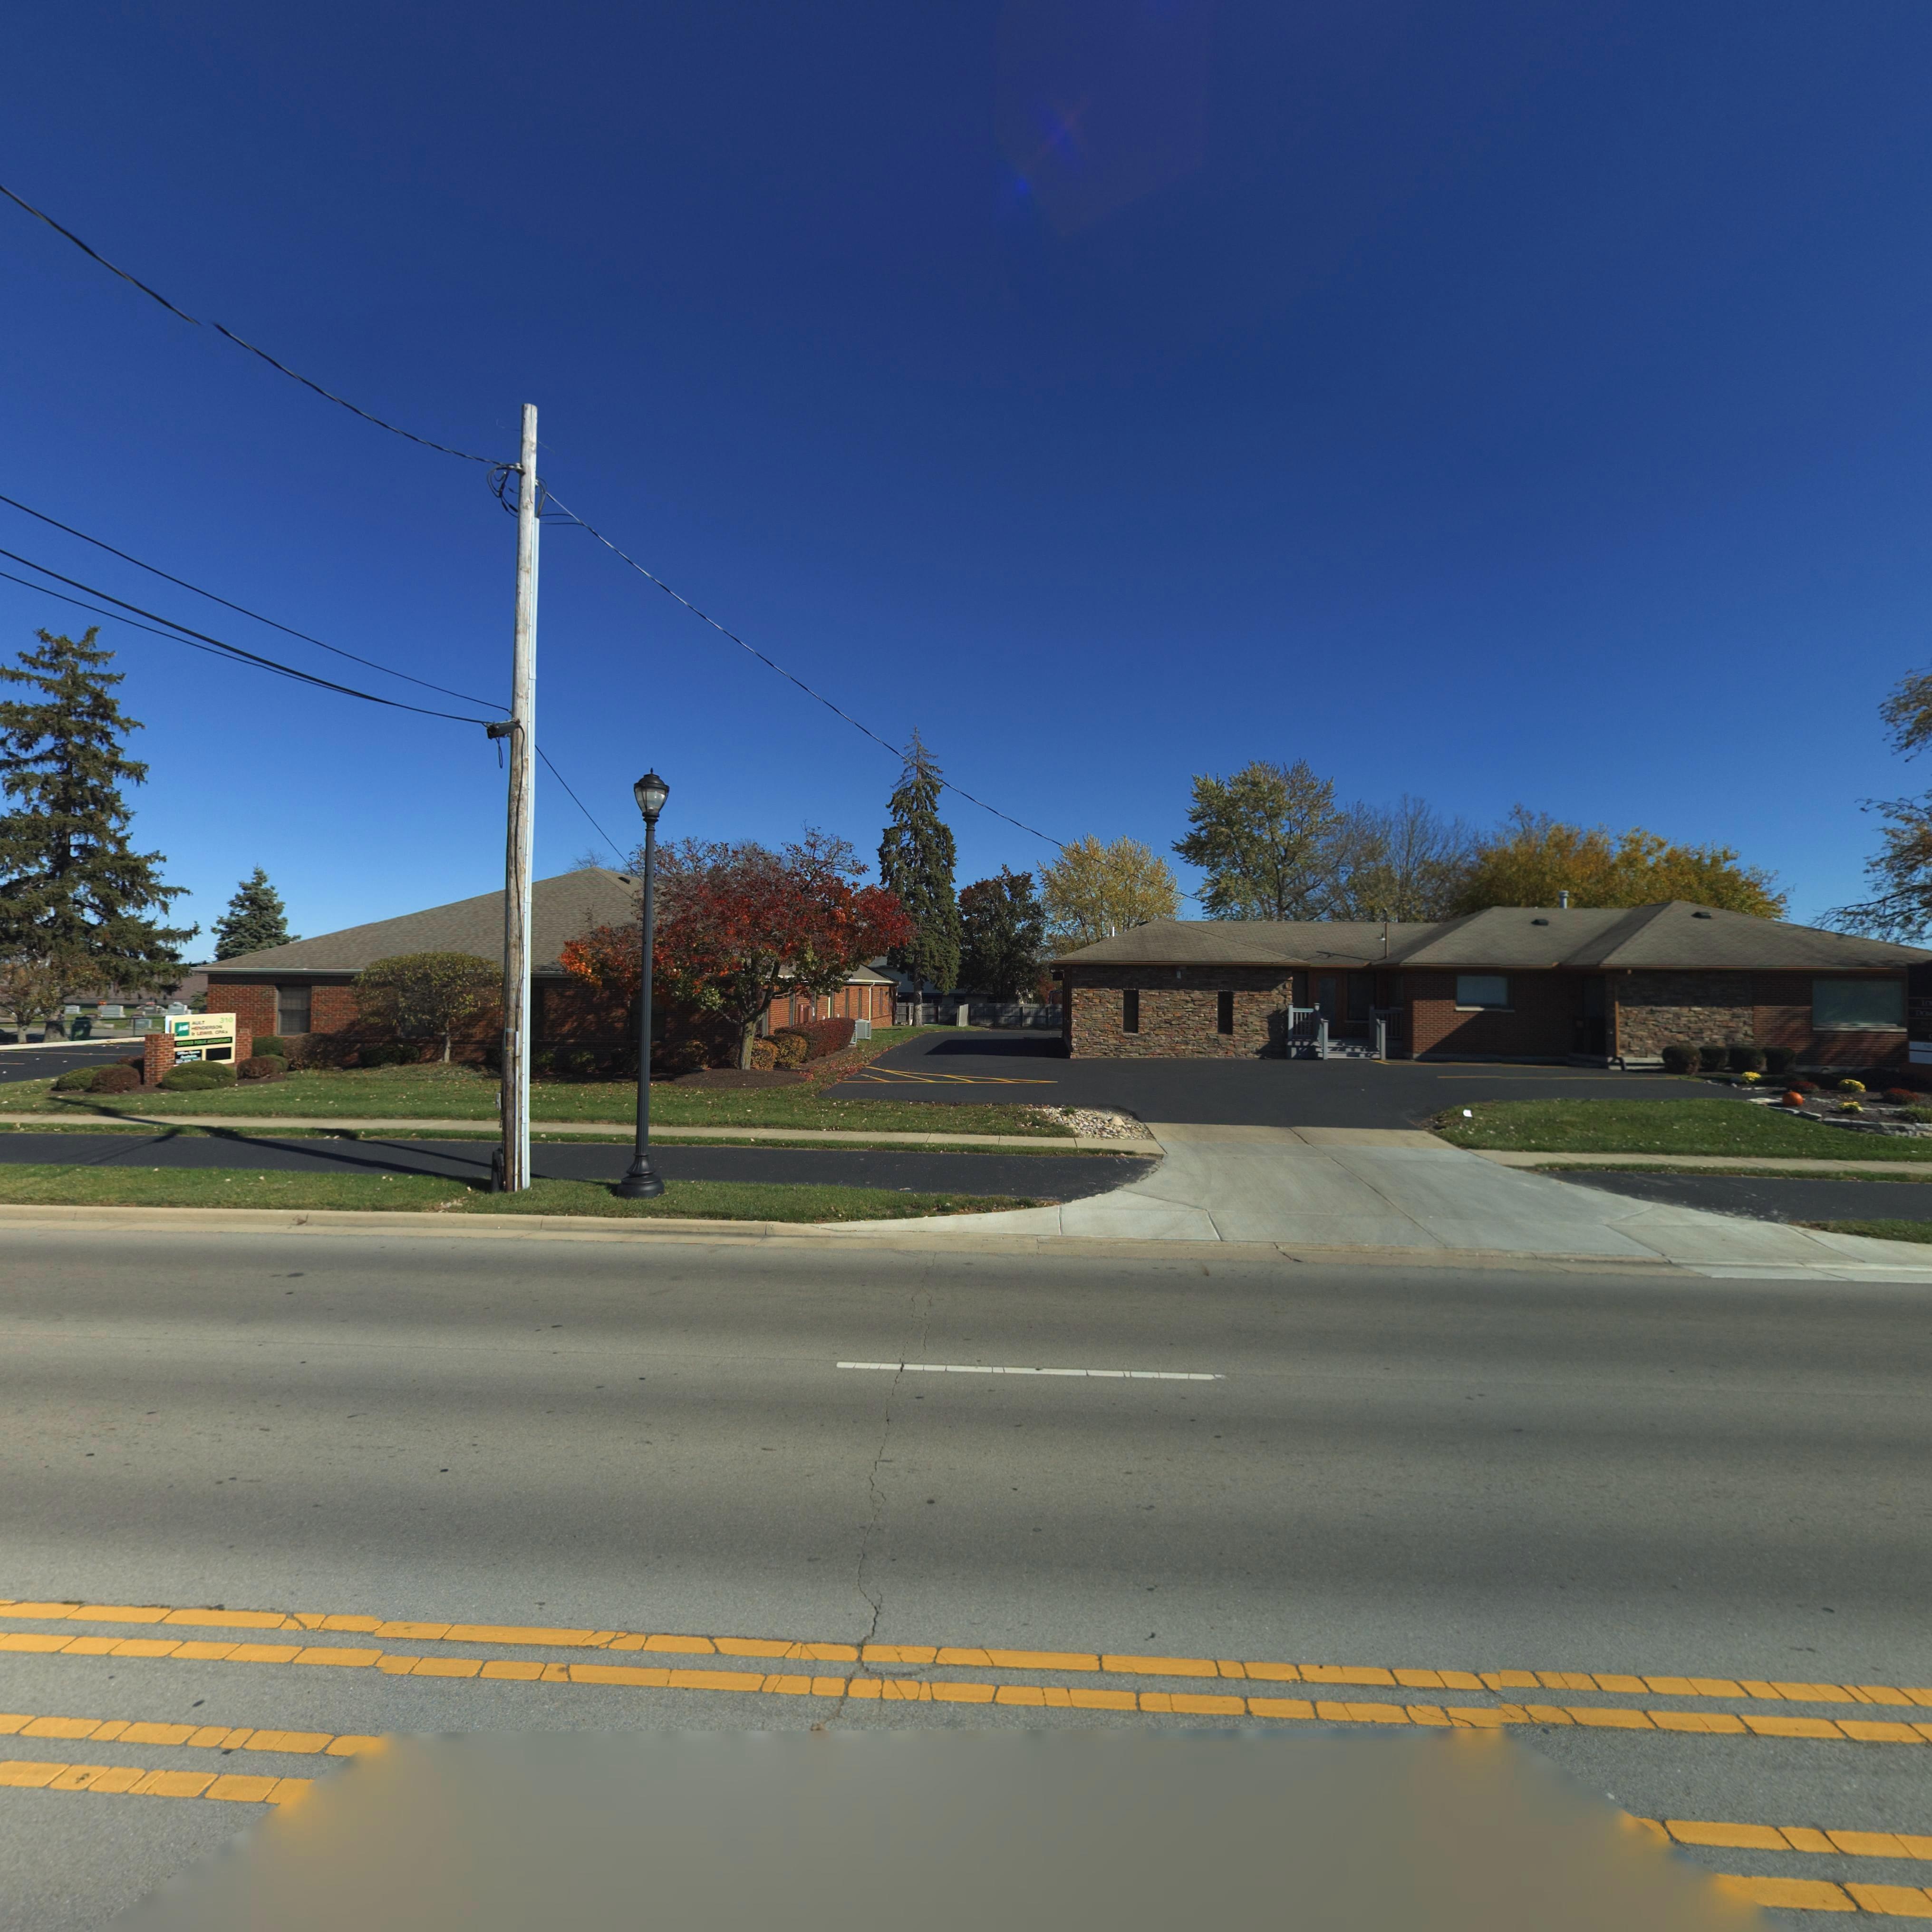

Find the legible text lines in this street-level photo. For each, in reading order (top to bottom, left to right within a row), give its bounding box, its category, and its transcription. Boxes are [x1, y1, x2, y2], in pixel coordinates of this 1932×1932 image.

[191, 1020, 205, 1025] BusinessName: AULT
[219, 1015, 235, 1024] StreetNumber: 310
[189, 1024, 223, 1031] BusinessName: H*NDERSON
[196, 1031, 201, 1036] BusinessName: L
[214, 1029, 225, 1034] BusinessName: CPA